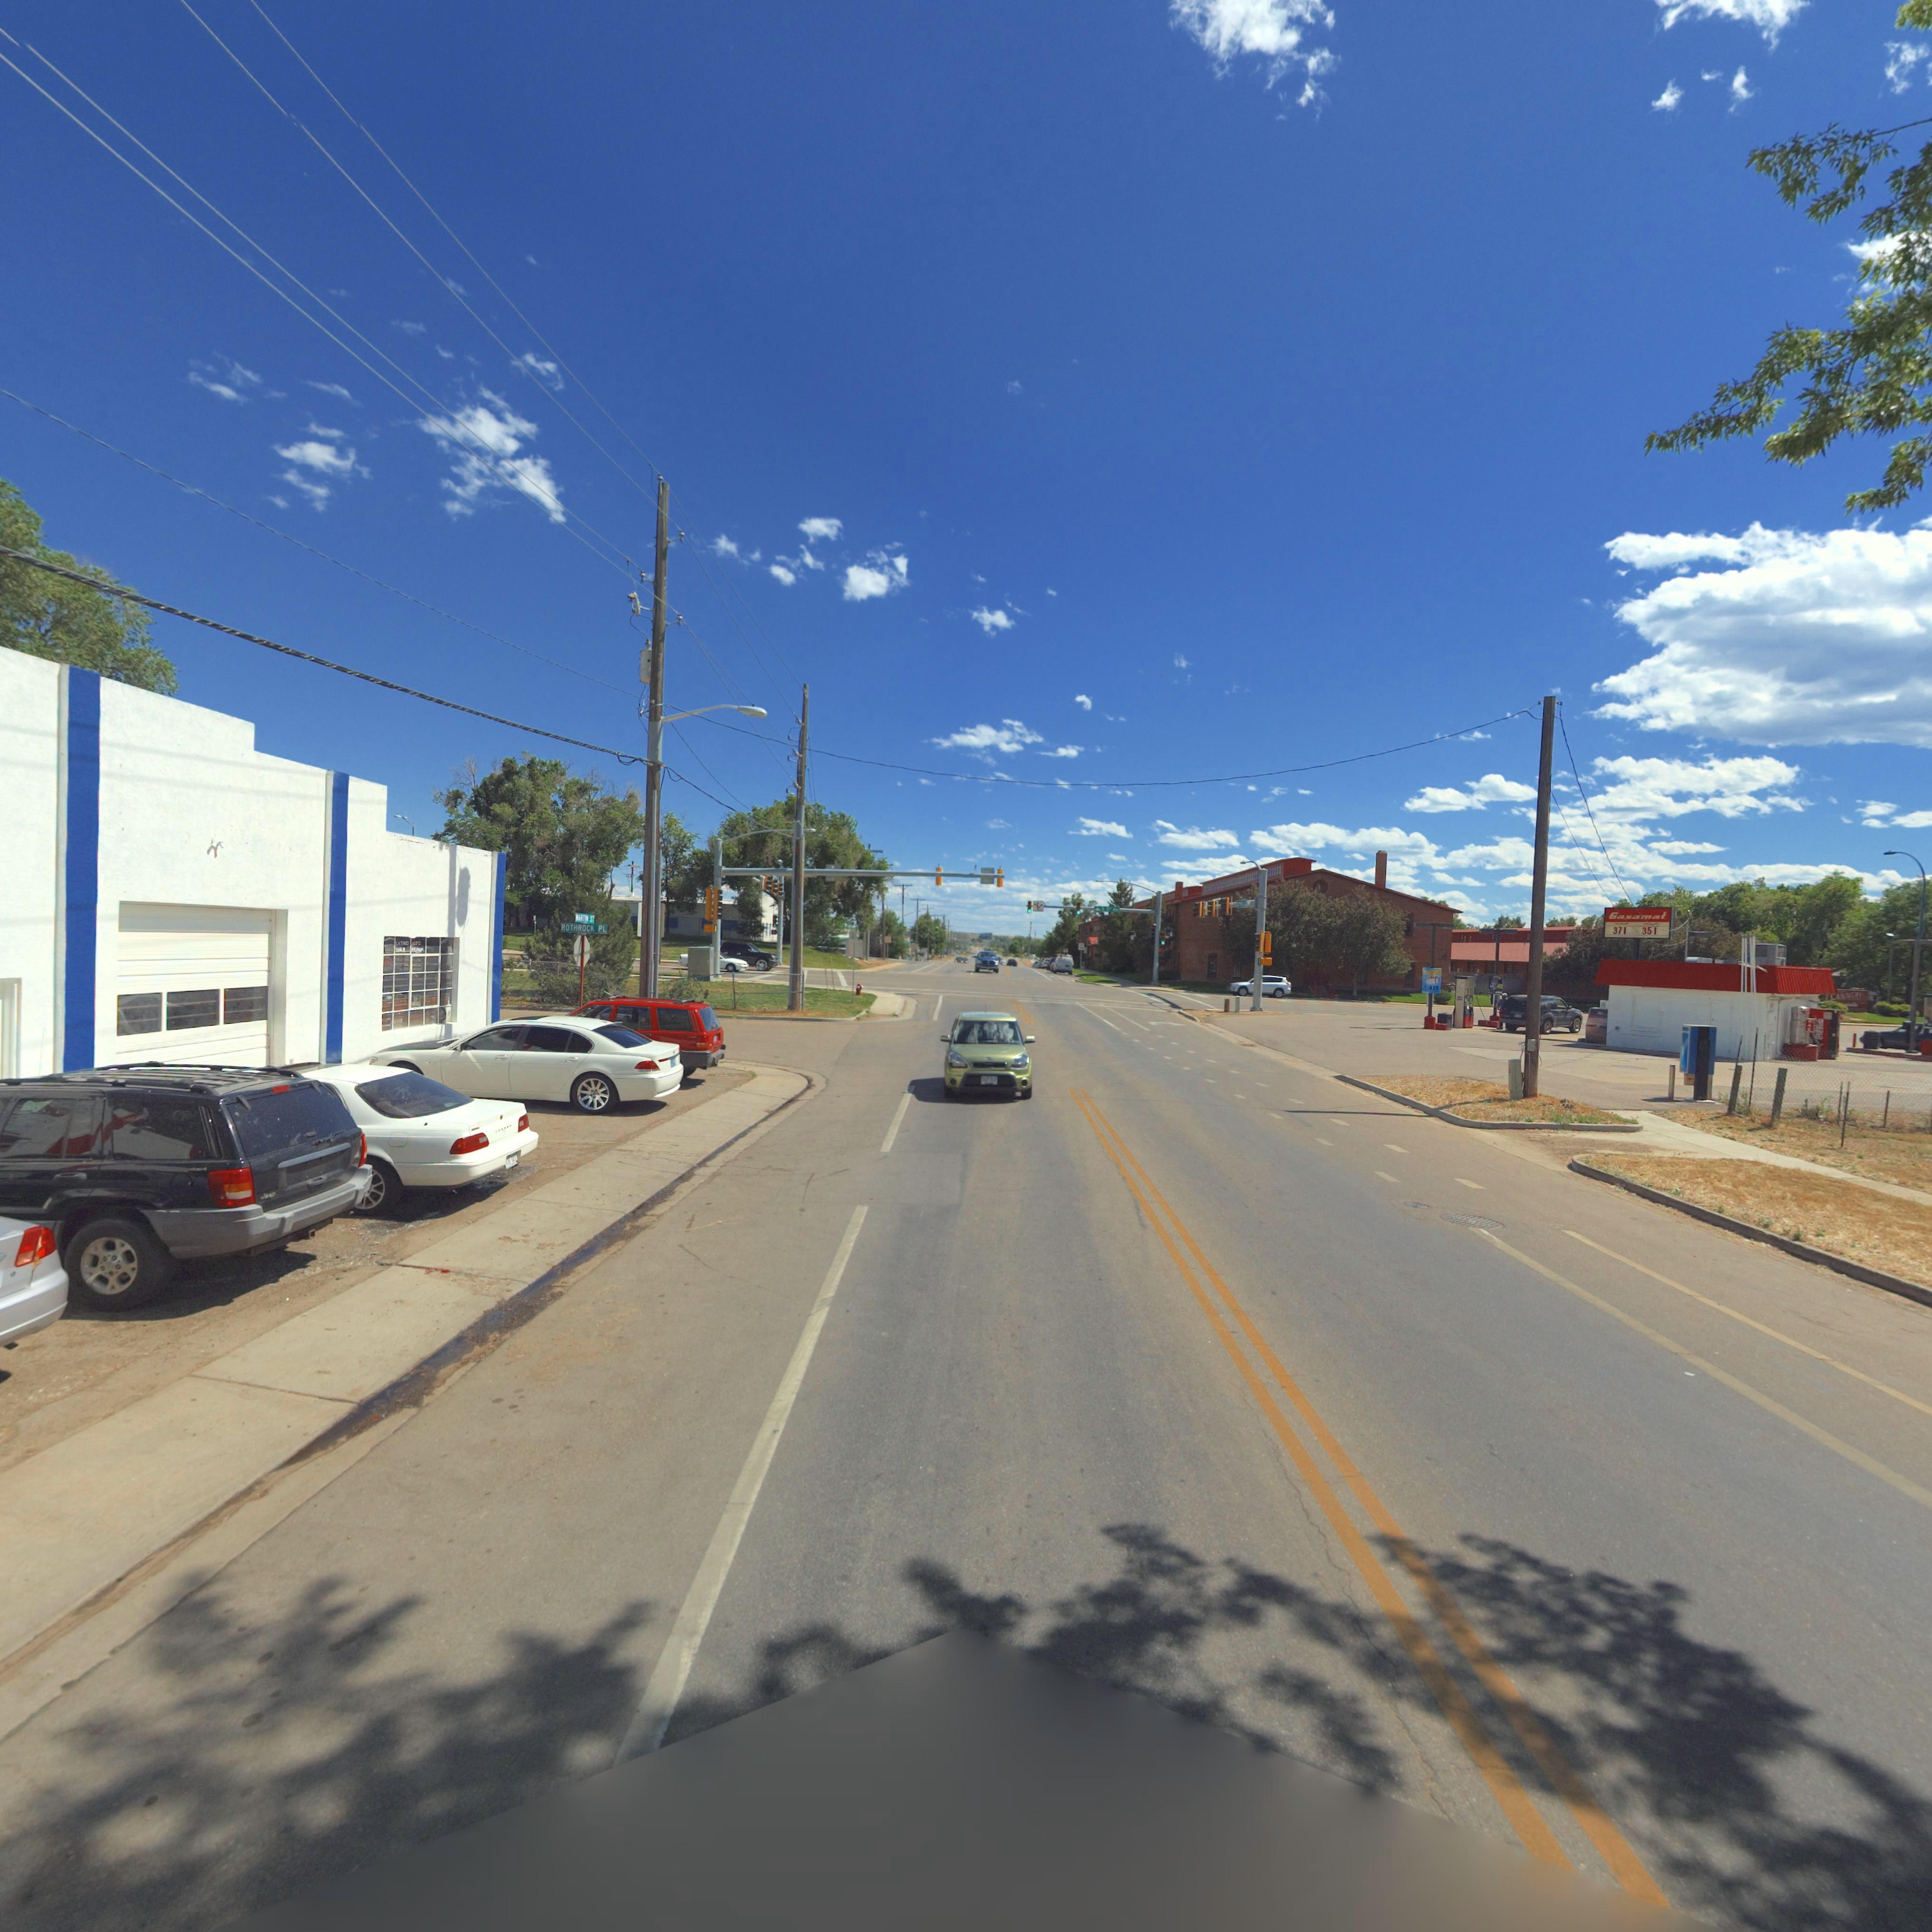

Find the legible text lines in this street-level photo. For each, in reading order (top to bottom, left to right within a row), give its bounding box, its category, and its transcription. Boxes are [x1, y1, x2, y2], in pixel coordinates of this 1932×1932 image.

[1101, 907, 1119, 912] StreetName: E 3rd Av
[575, 914, 595, 923] StreetName: MARTIN ST
[1608, 911, 1667, 919] BusinessName: Gasamat
[561, 923, 607, 932] StreetName: ROTHROCK PL
[1829, 991, 1864, 1001] BusinessName: CANN*R*